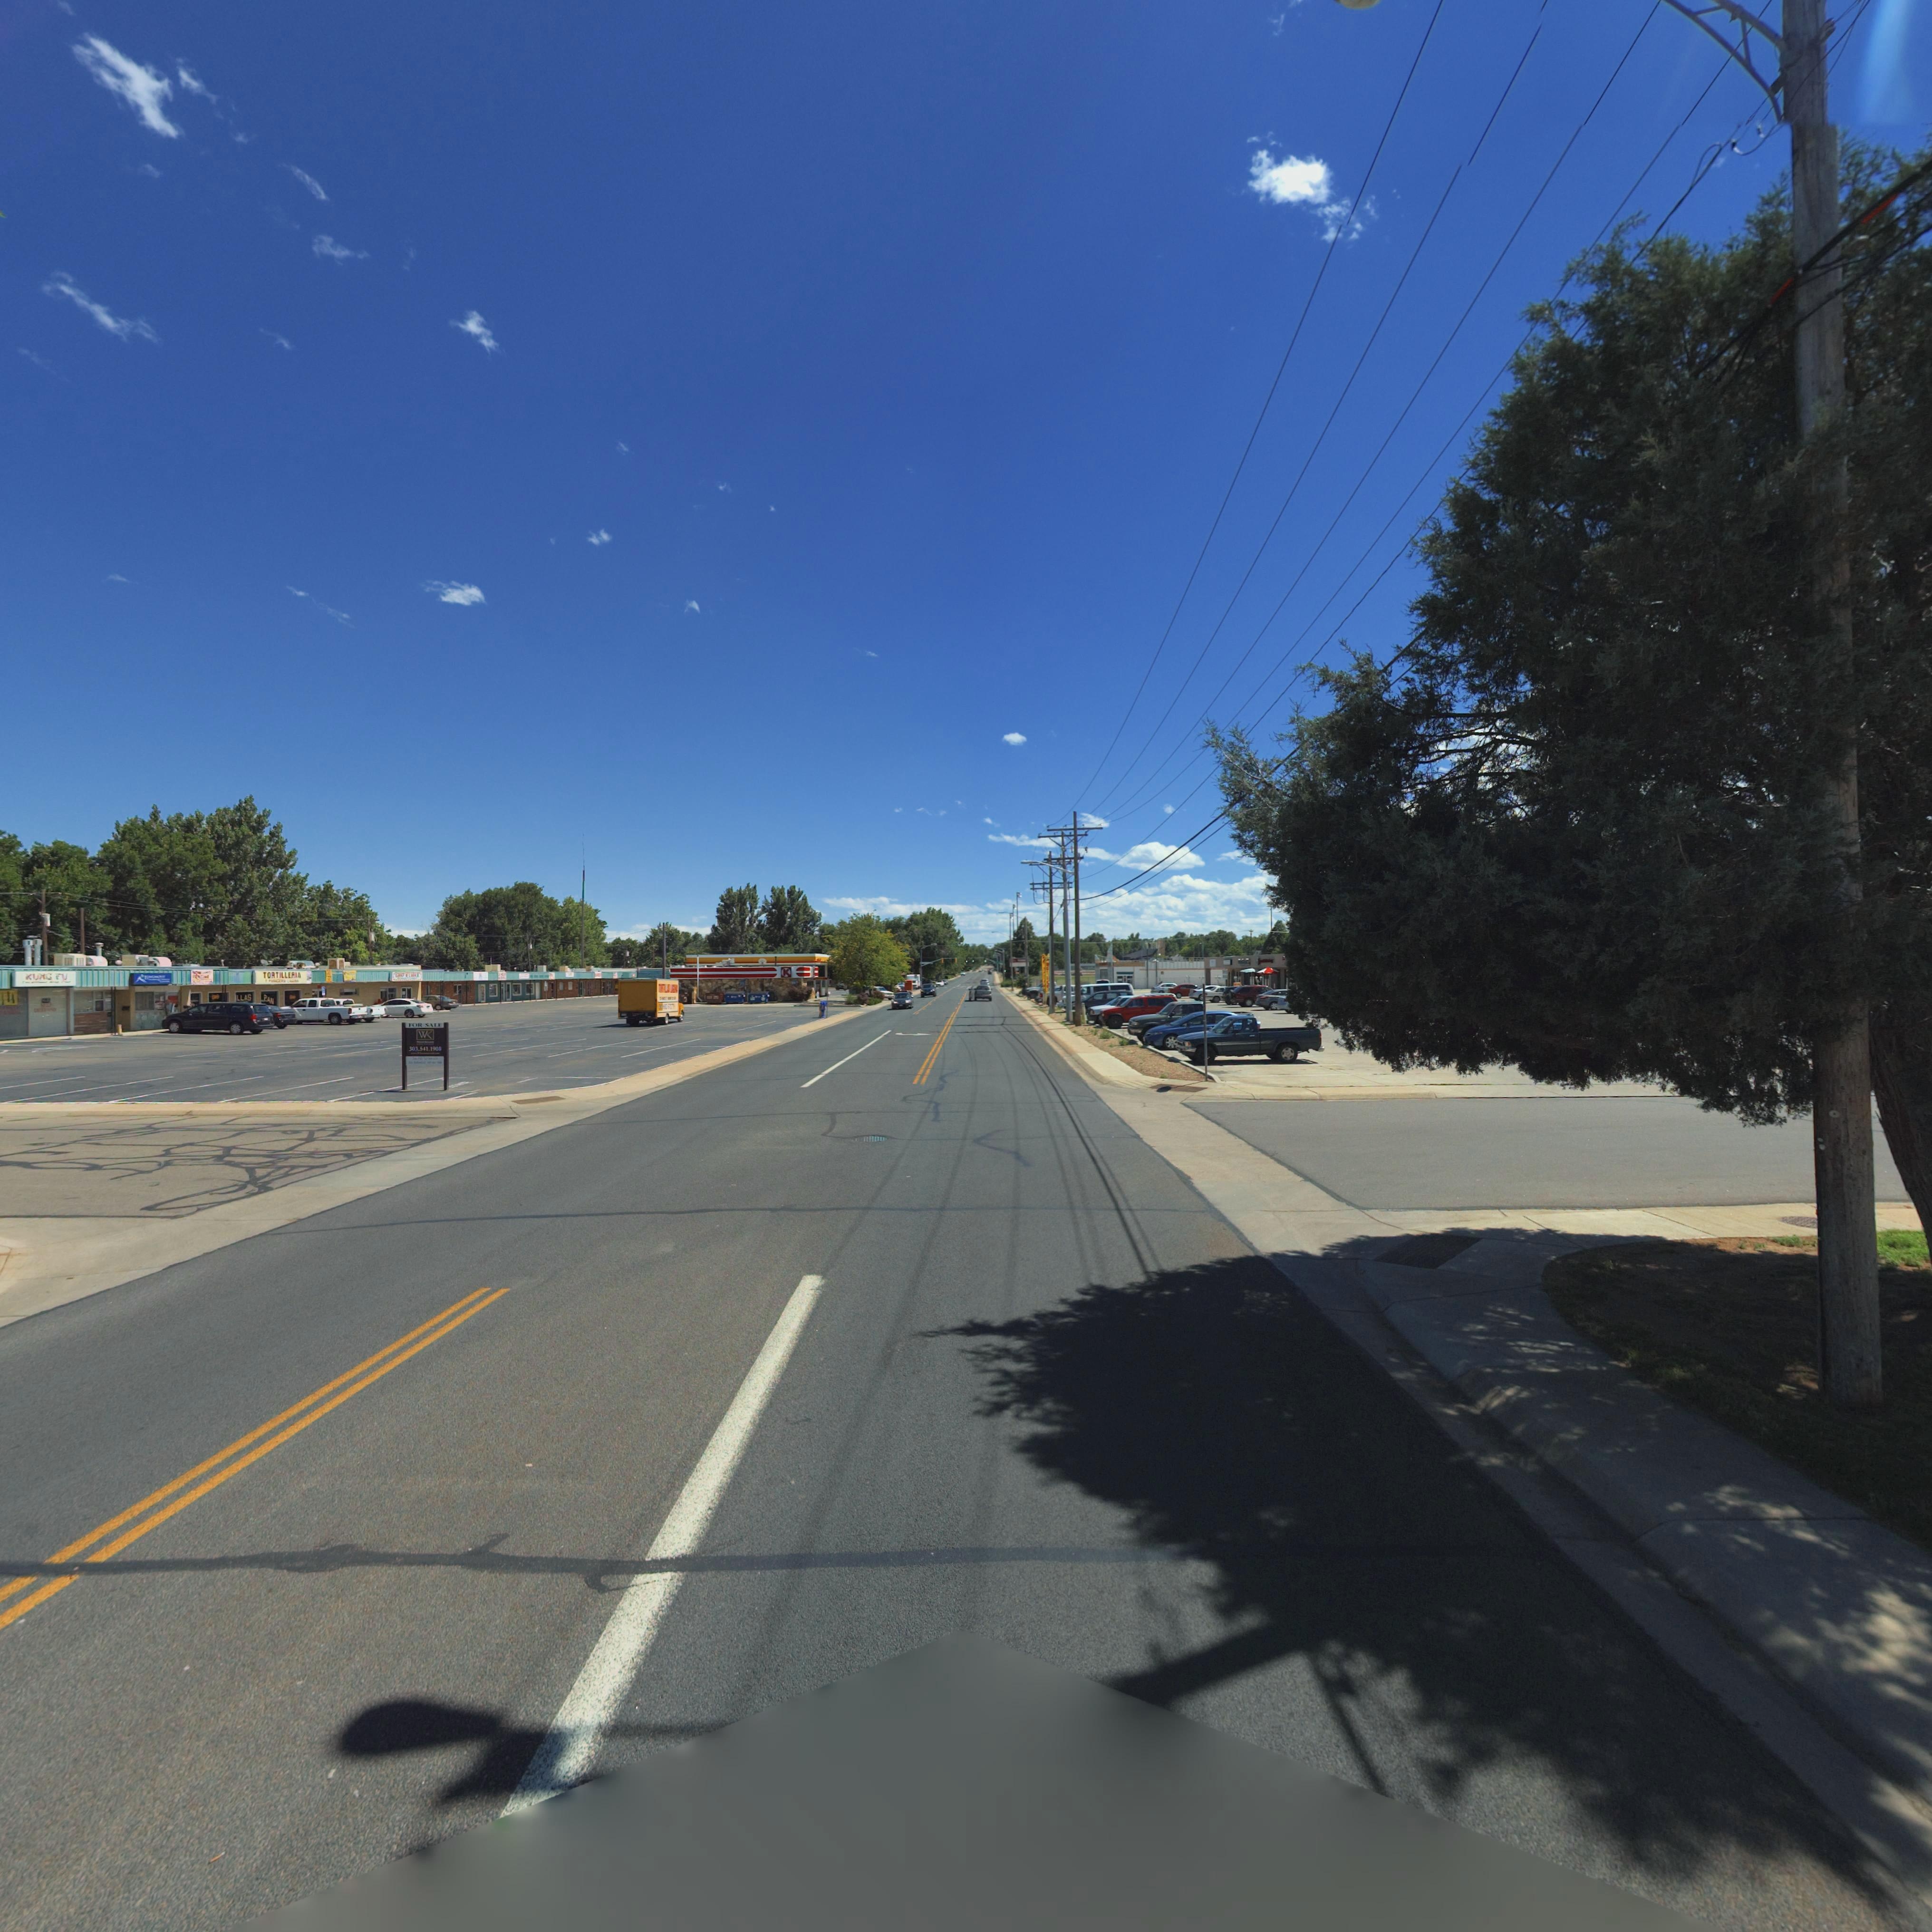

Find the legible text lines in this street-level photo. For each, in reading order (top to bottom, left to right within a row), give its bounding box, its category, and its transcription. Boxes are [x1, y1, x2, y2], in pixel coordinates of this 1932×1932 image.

[262, 971, 301, 978] BusinessName: TORTILLERIA